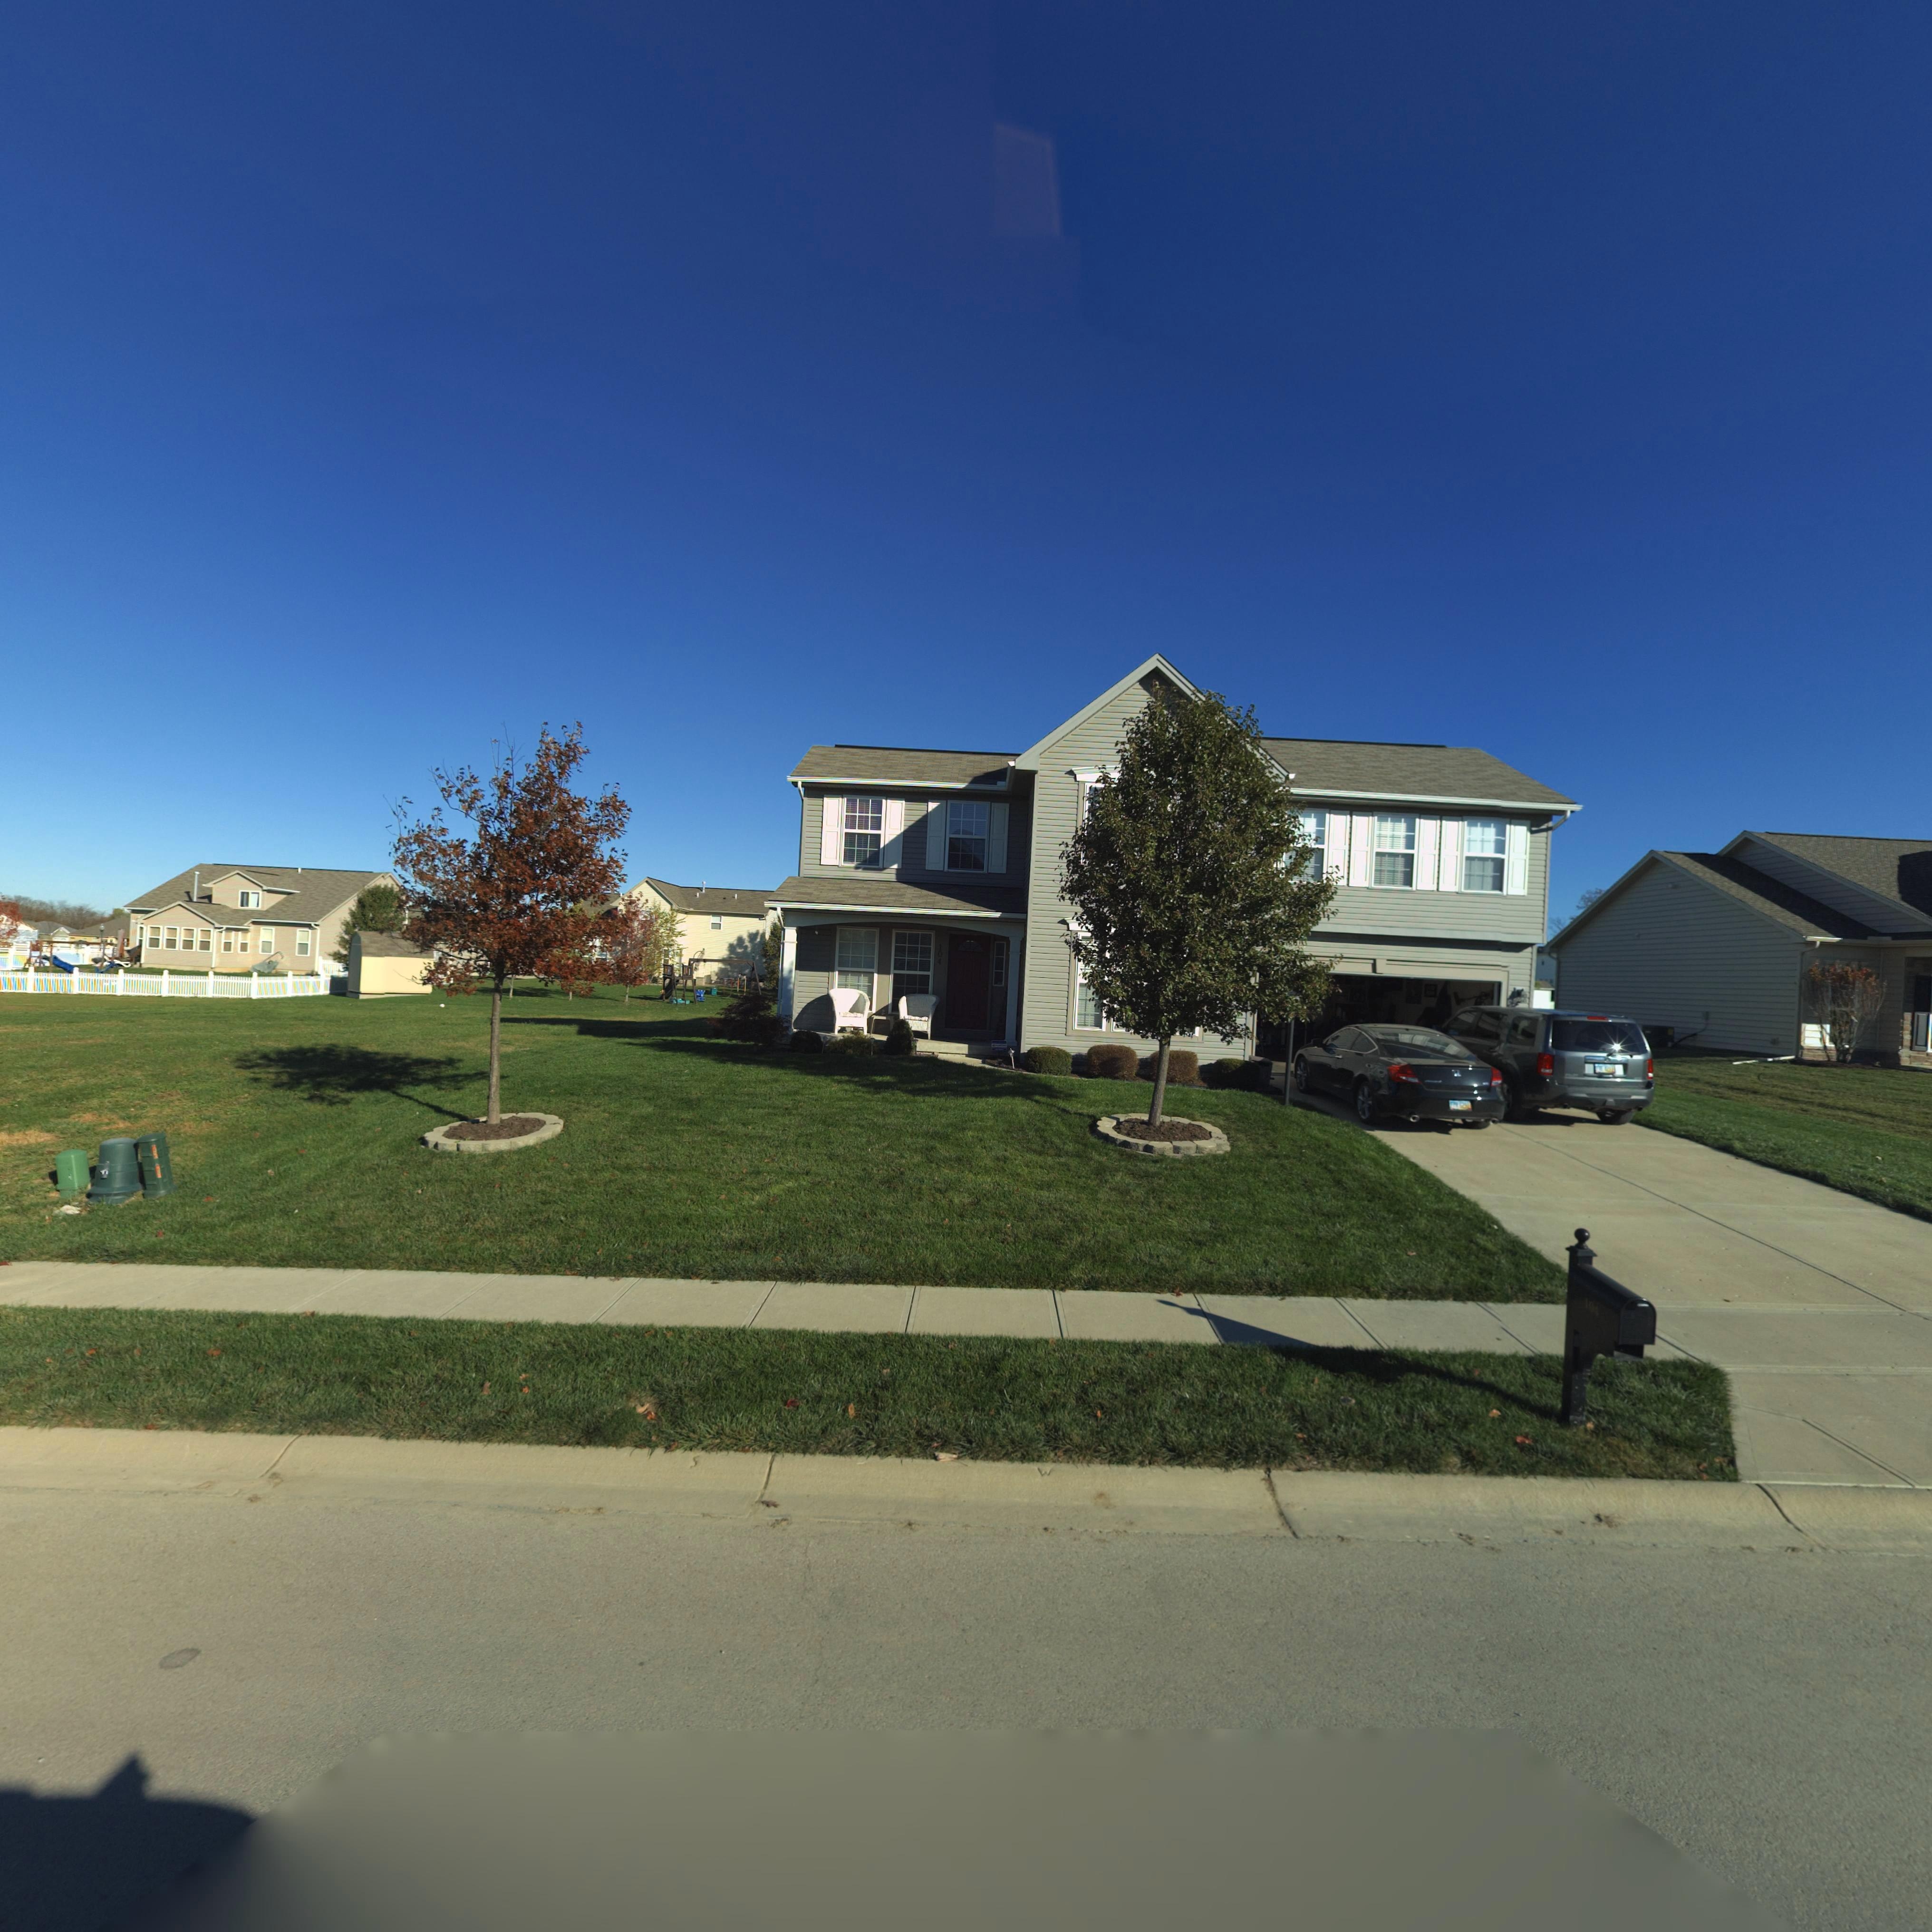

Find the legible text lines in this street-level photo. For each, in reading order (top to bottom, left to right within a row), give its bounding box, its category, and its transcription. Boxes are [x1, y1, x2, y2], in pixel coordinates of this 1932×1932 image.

[937, 943, 943, 966] StreetNumber: 104
[1584, 1295, 1600, 1318] StreetNumber: 104